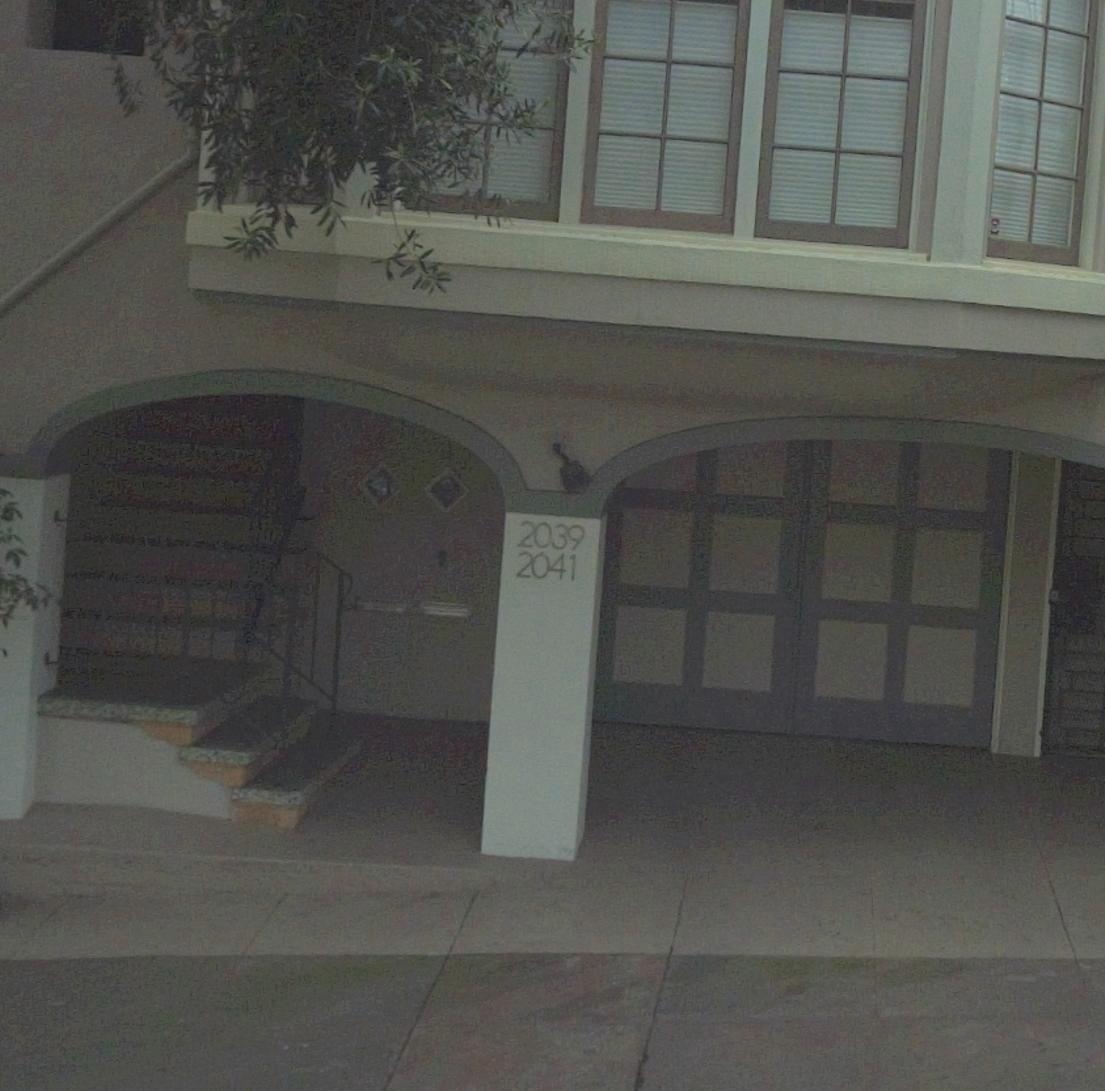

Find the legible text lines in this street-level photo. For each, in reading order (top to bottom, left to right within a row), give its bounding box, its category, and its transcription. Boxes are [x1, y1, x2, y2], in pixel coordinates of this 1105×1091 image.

[514, 517, 588, 553] StreetNumber: 2039
[513, 550, 579, 585] StreetNumber: 2041